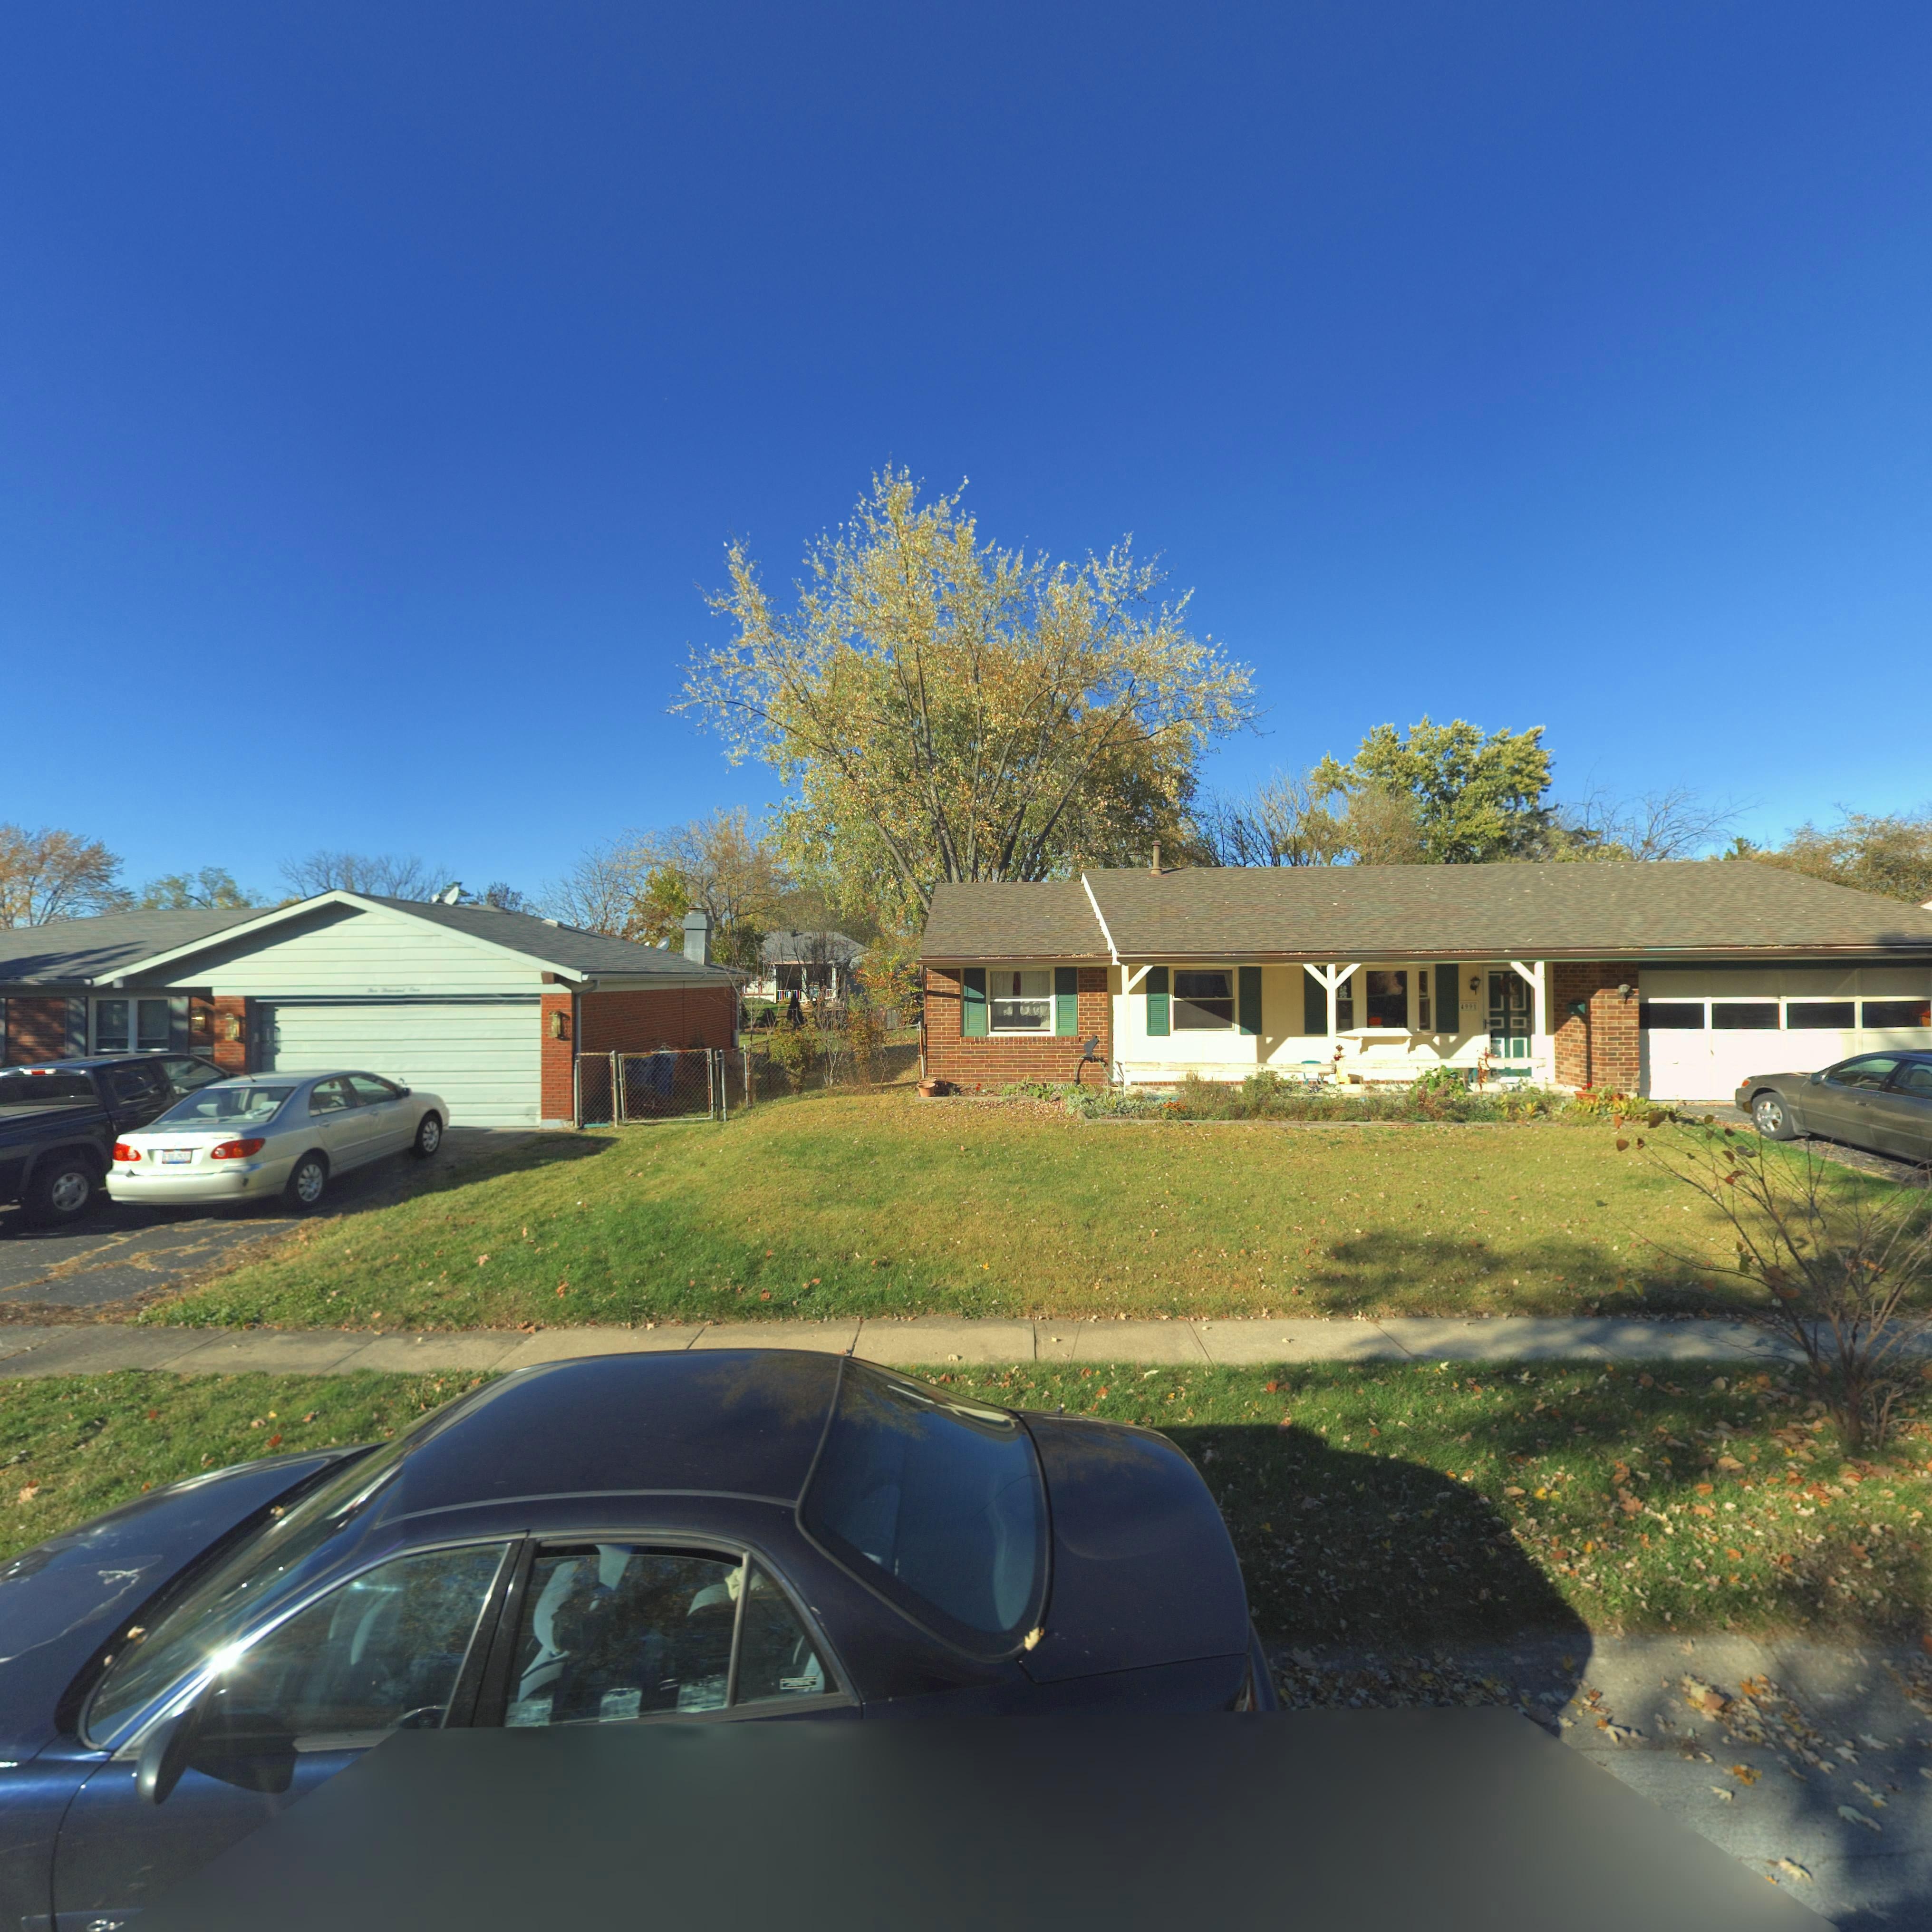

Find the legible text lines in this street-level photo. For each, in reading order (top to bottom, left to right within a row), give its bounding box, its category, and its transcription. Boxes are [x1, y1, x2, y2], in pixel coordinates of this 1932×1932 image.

[366, 986, 421, 994] StreetNumber: Five Thousand One
[1460, 1003, 1477, 1010] StreetNumber: 4991